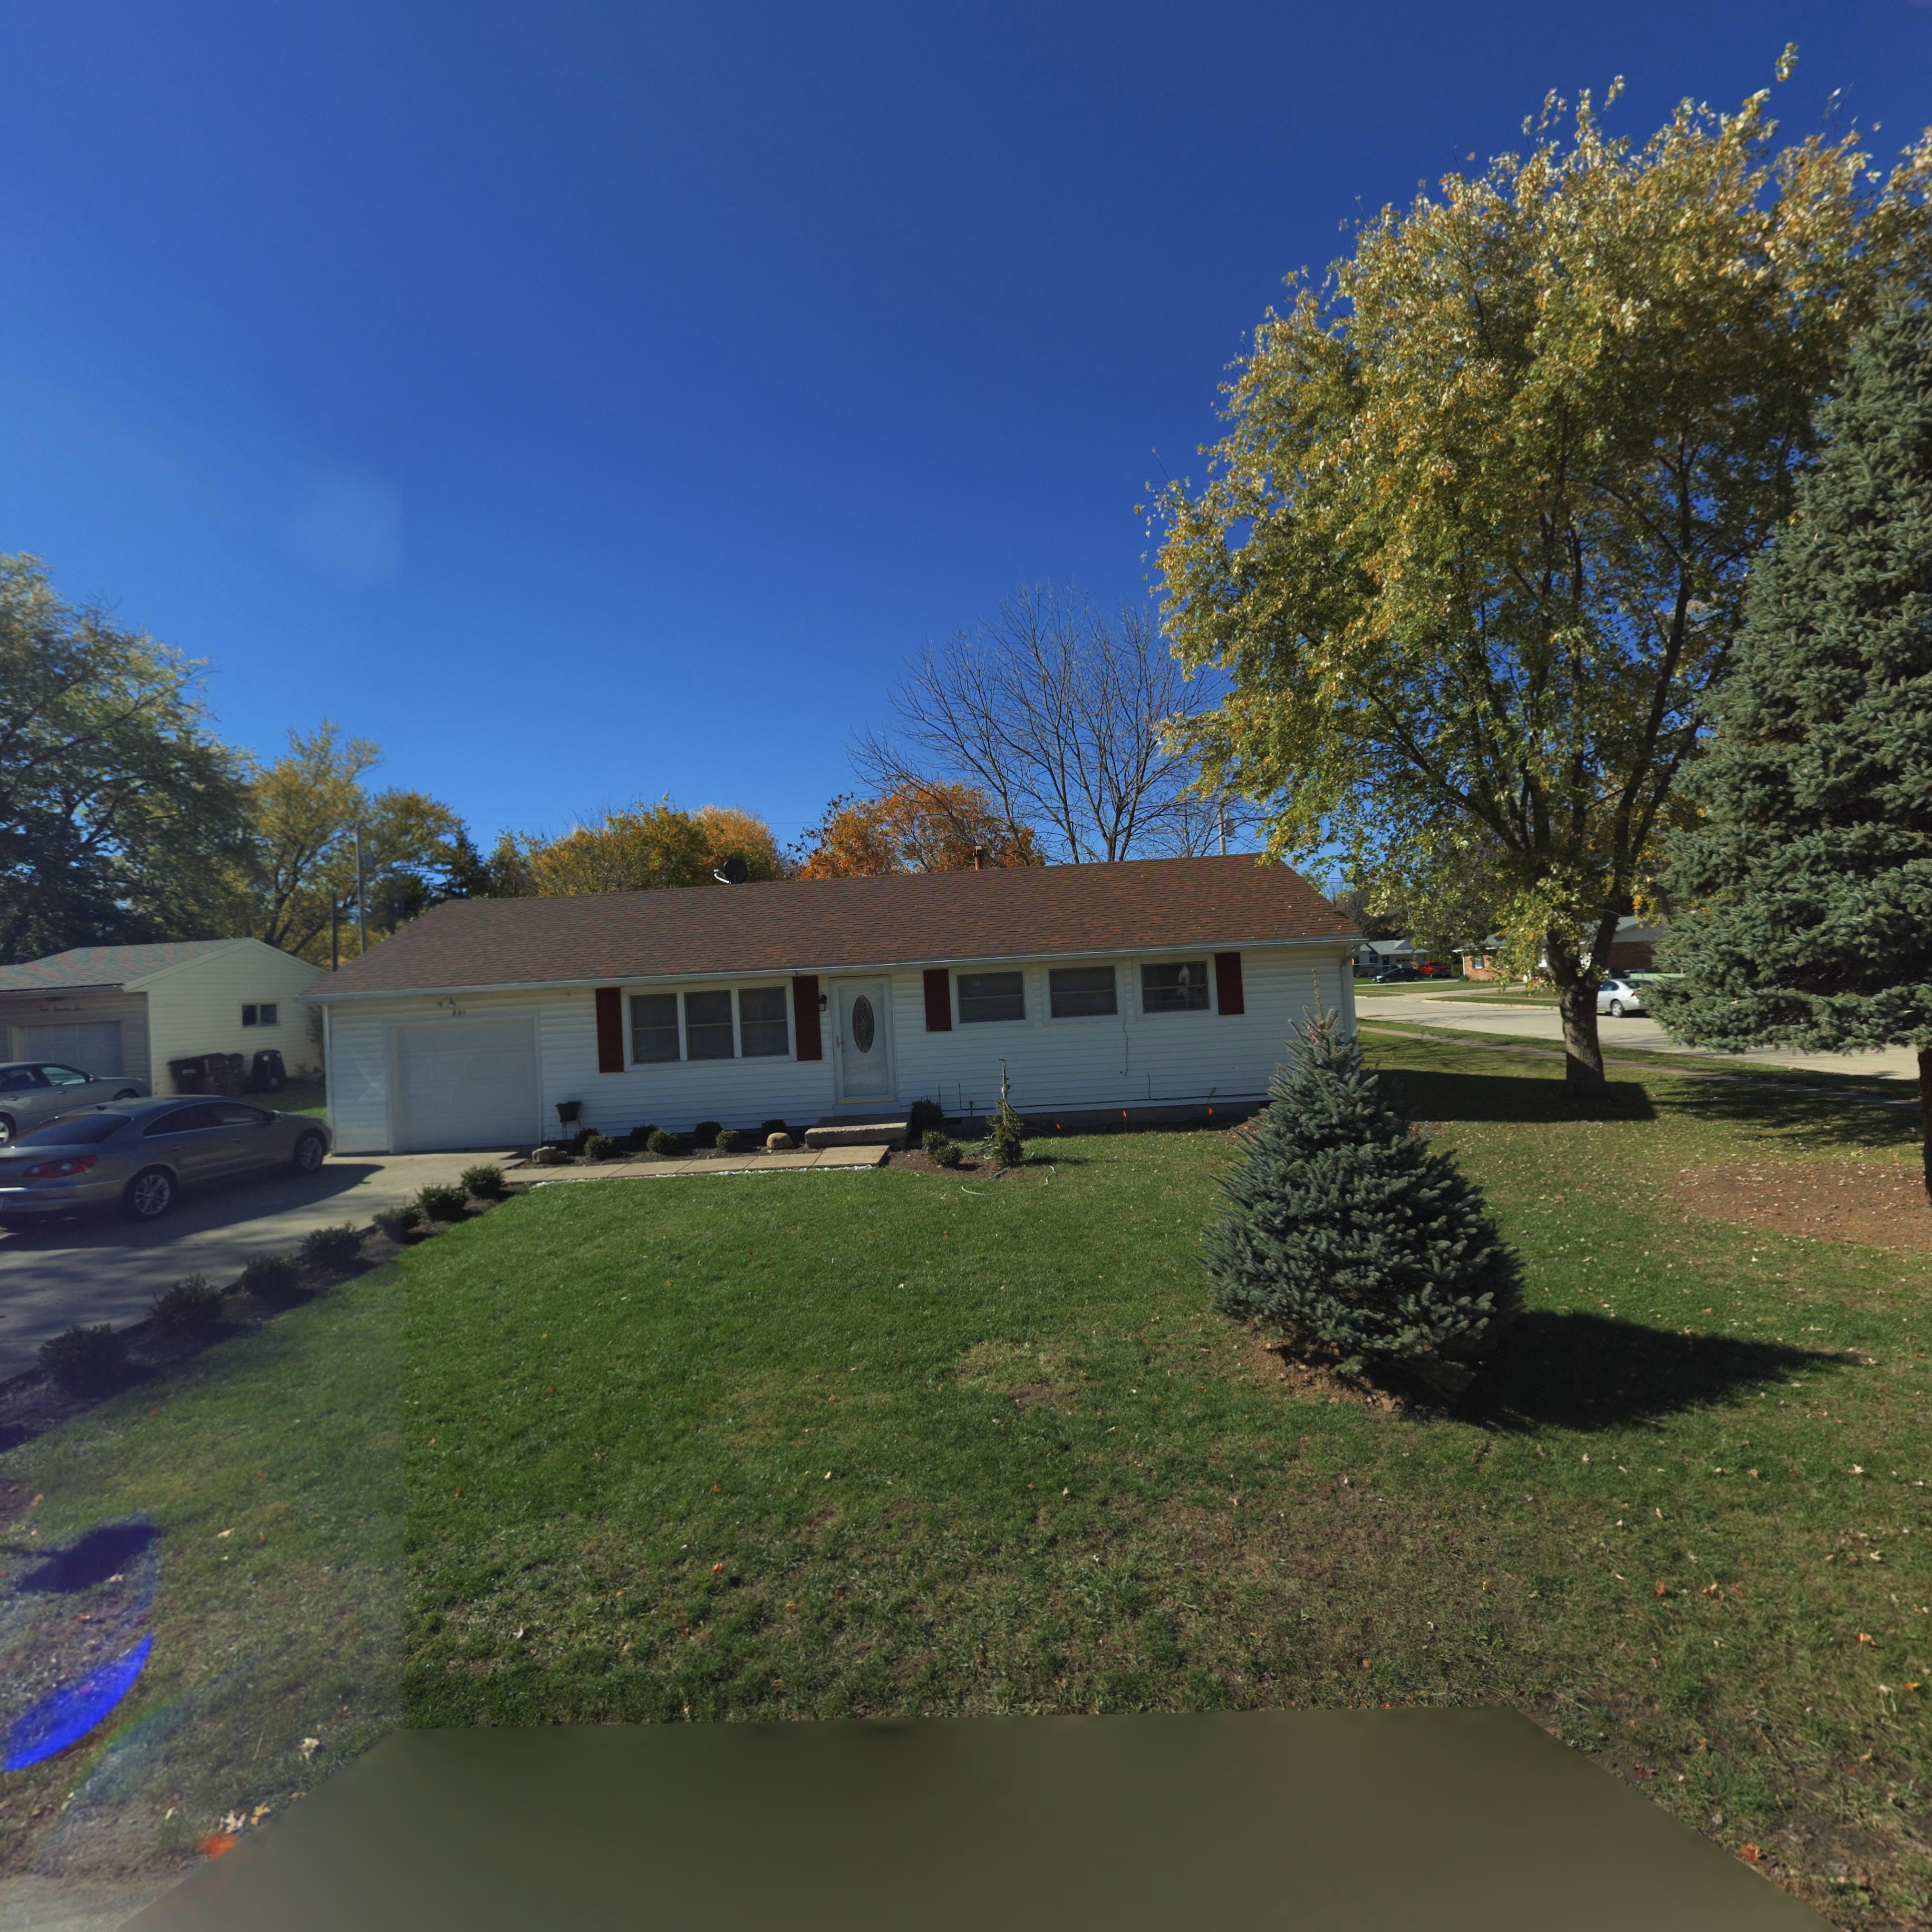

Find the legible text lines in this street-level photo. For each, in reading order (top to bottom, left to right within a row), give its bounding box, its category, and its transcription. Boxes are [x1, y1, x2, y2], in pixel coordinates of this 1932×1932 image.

[452, 1009, 466, 1016] StreetNumber: *01